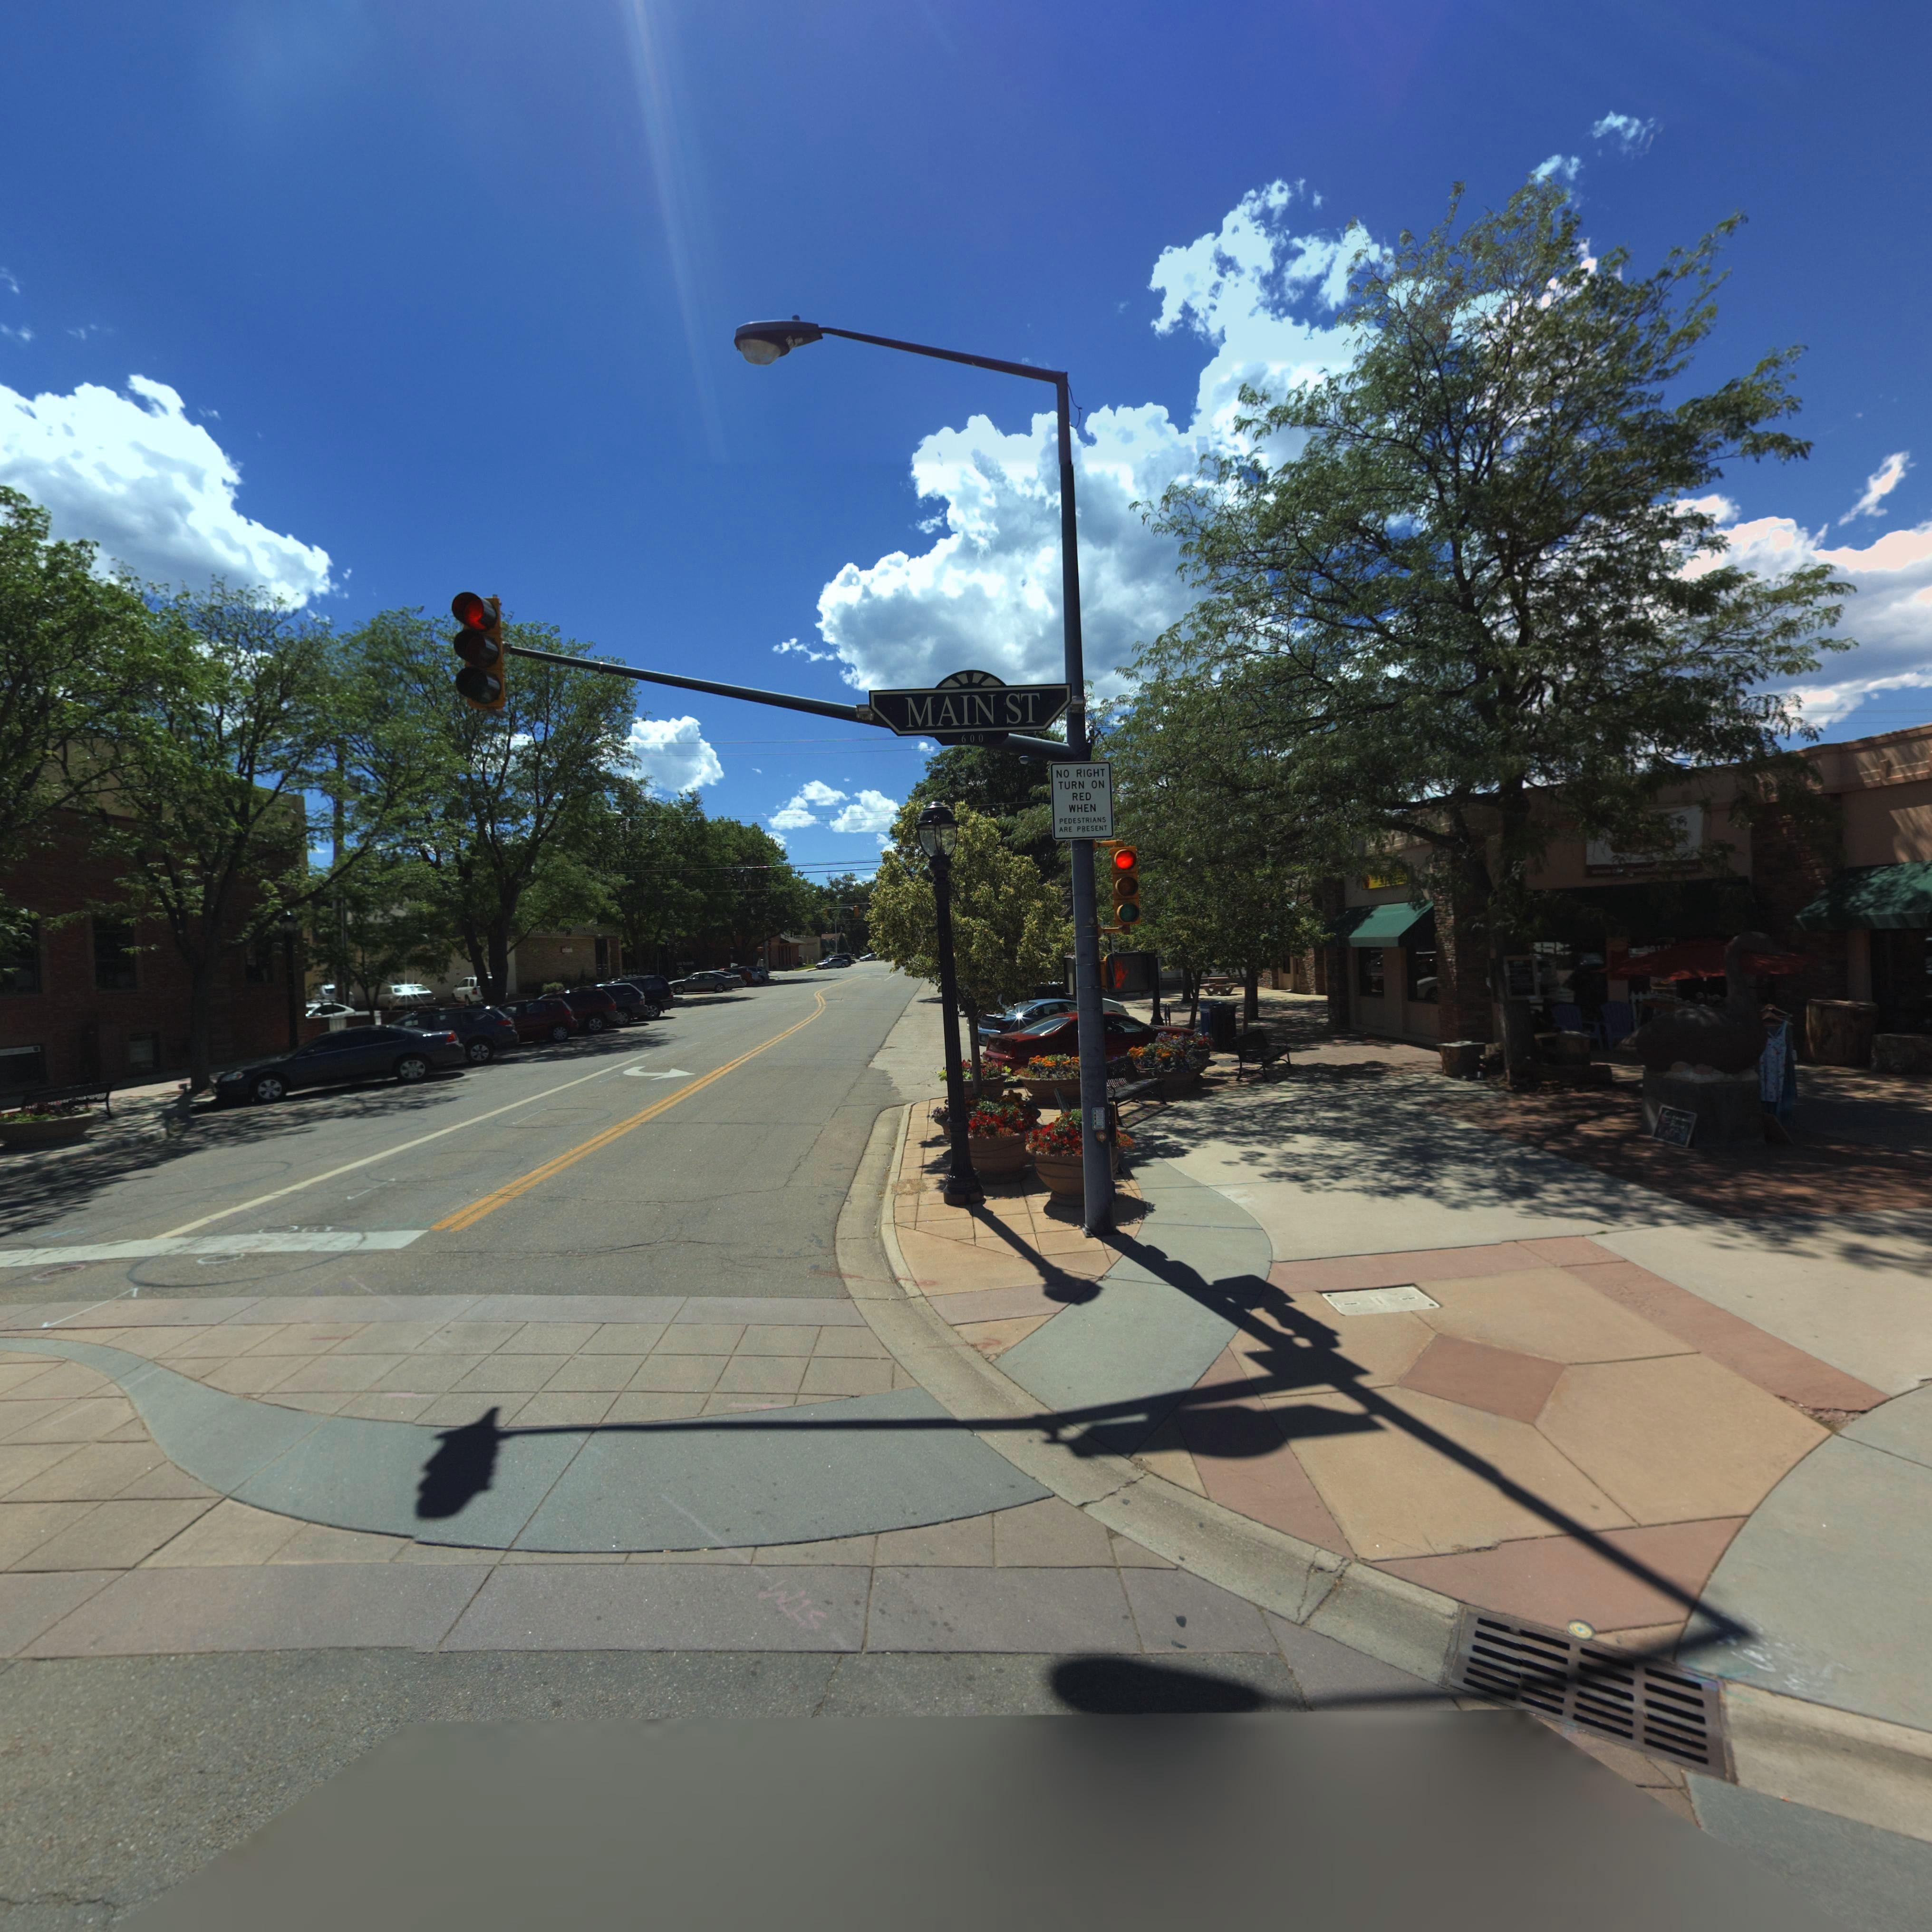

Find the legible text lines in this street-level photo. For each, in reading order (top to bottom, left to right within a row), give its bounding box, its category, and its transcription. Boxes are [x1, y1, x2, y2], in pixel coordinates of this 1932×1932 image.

[906, 692, 1040, 728] StreetName: MAIN ST
[961, 734, 983, 743] StreetNumberRange: 600